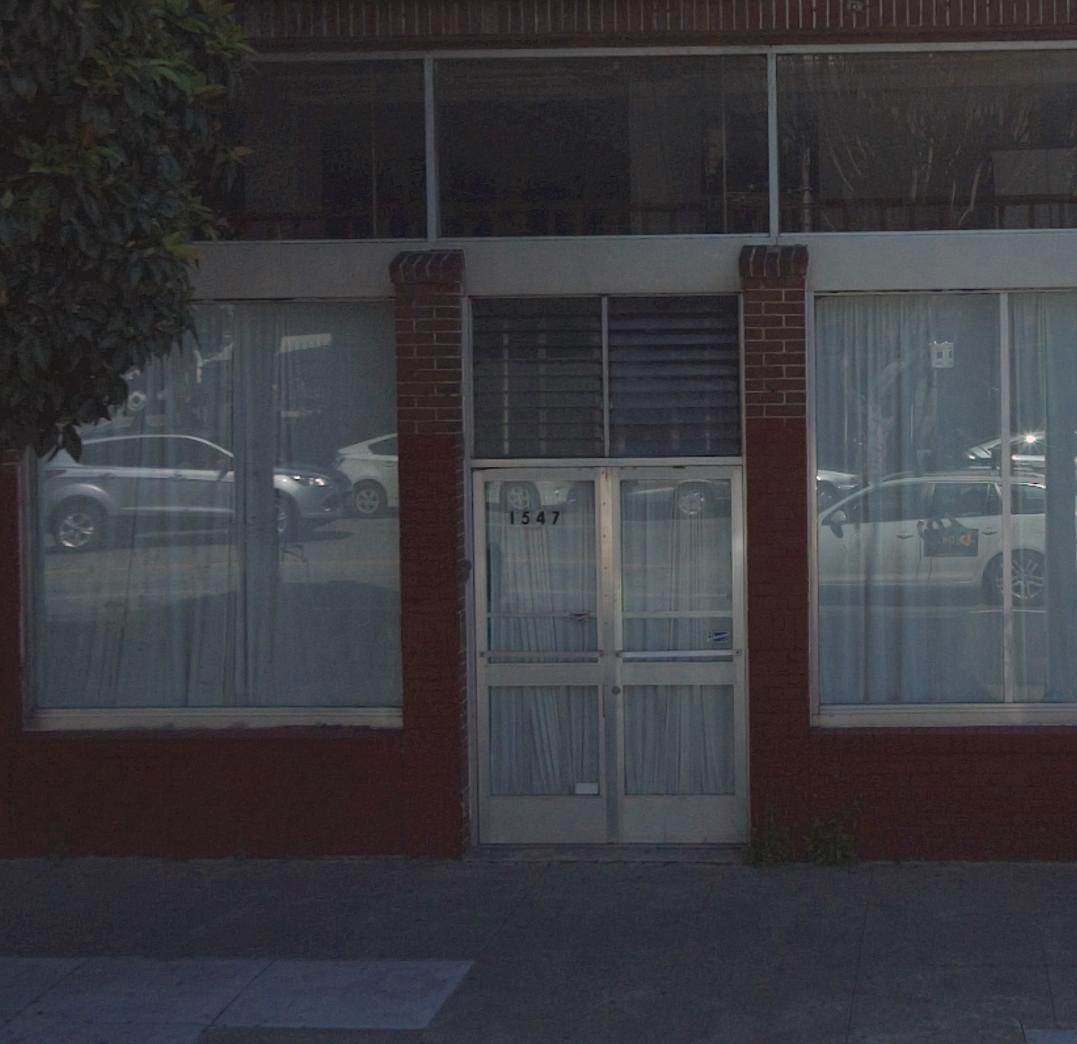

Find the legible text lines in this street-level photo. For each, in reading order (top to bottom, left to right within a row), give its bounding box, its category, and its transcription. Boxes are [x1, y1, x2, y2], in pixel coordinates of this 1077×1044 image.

[509, 510, 561, 526] StreetNumber: 1547